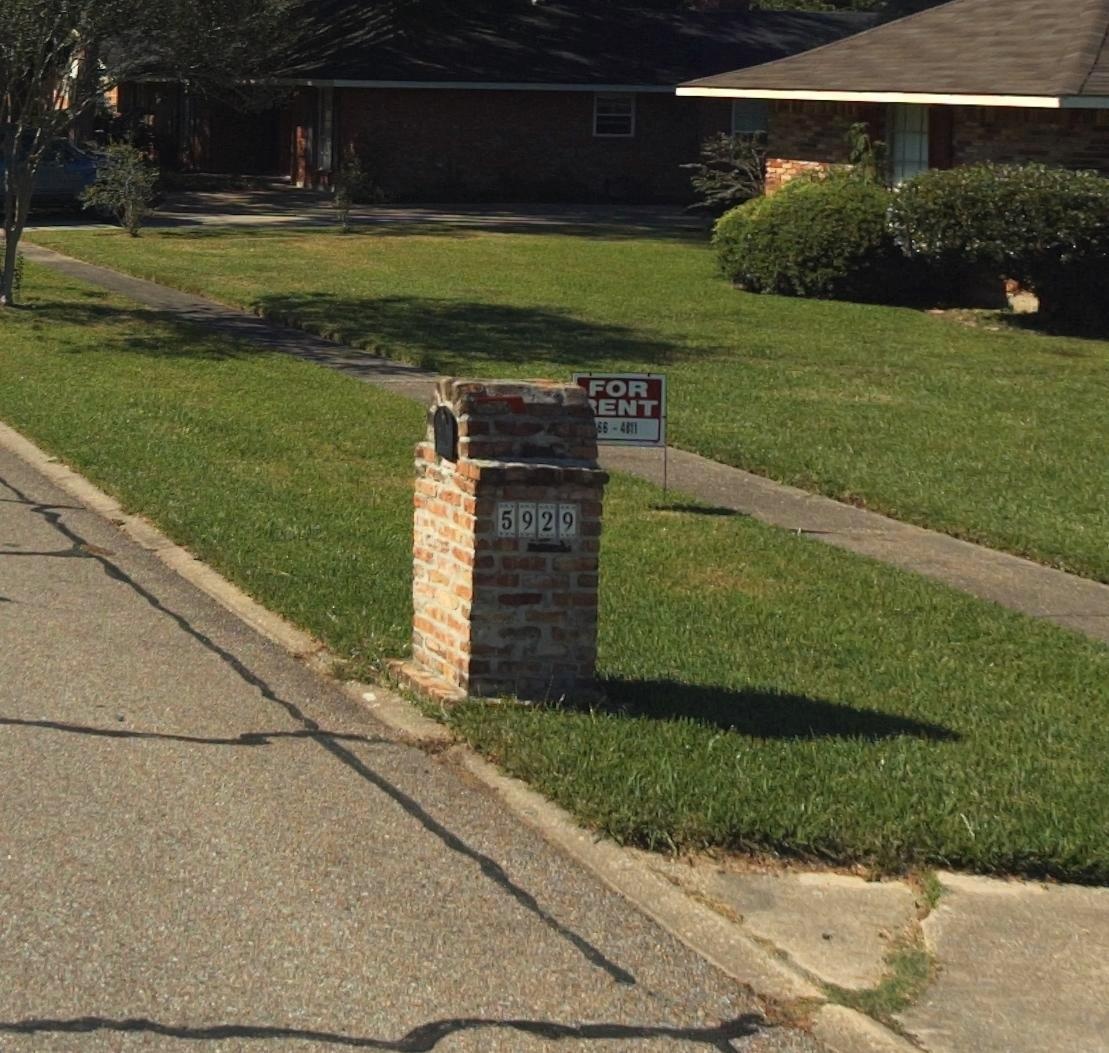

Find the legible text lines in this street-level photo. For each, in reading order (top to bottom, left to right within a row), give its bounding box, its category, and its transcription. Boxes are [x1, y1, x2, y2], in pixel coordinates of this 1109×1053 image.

[587, 377, 650, 400] None: FOR
[596, 397, 661, 418] None: ENT
[595, 418, 640, 437] None: 66-4***'
[500, 507, 576, 535] StreetNumber: 5929